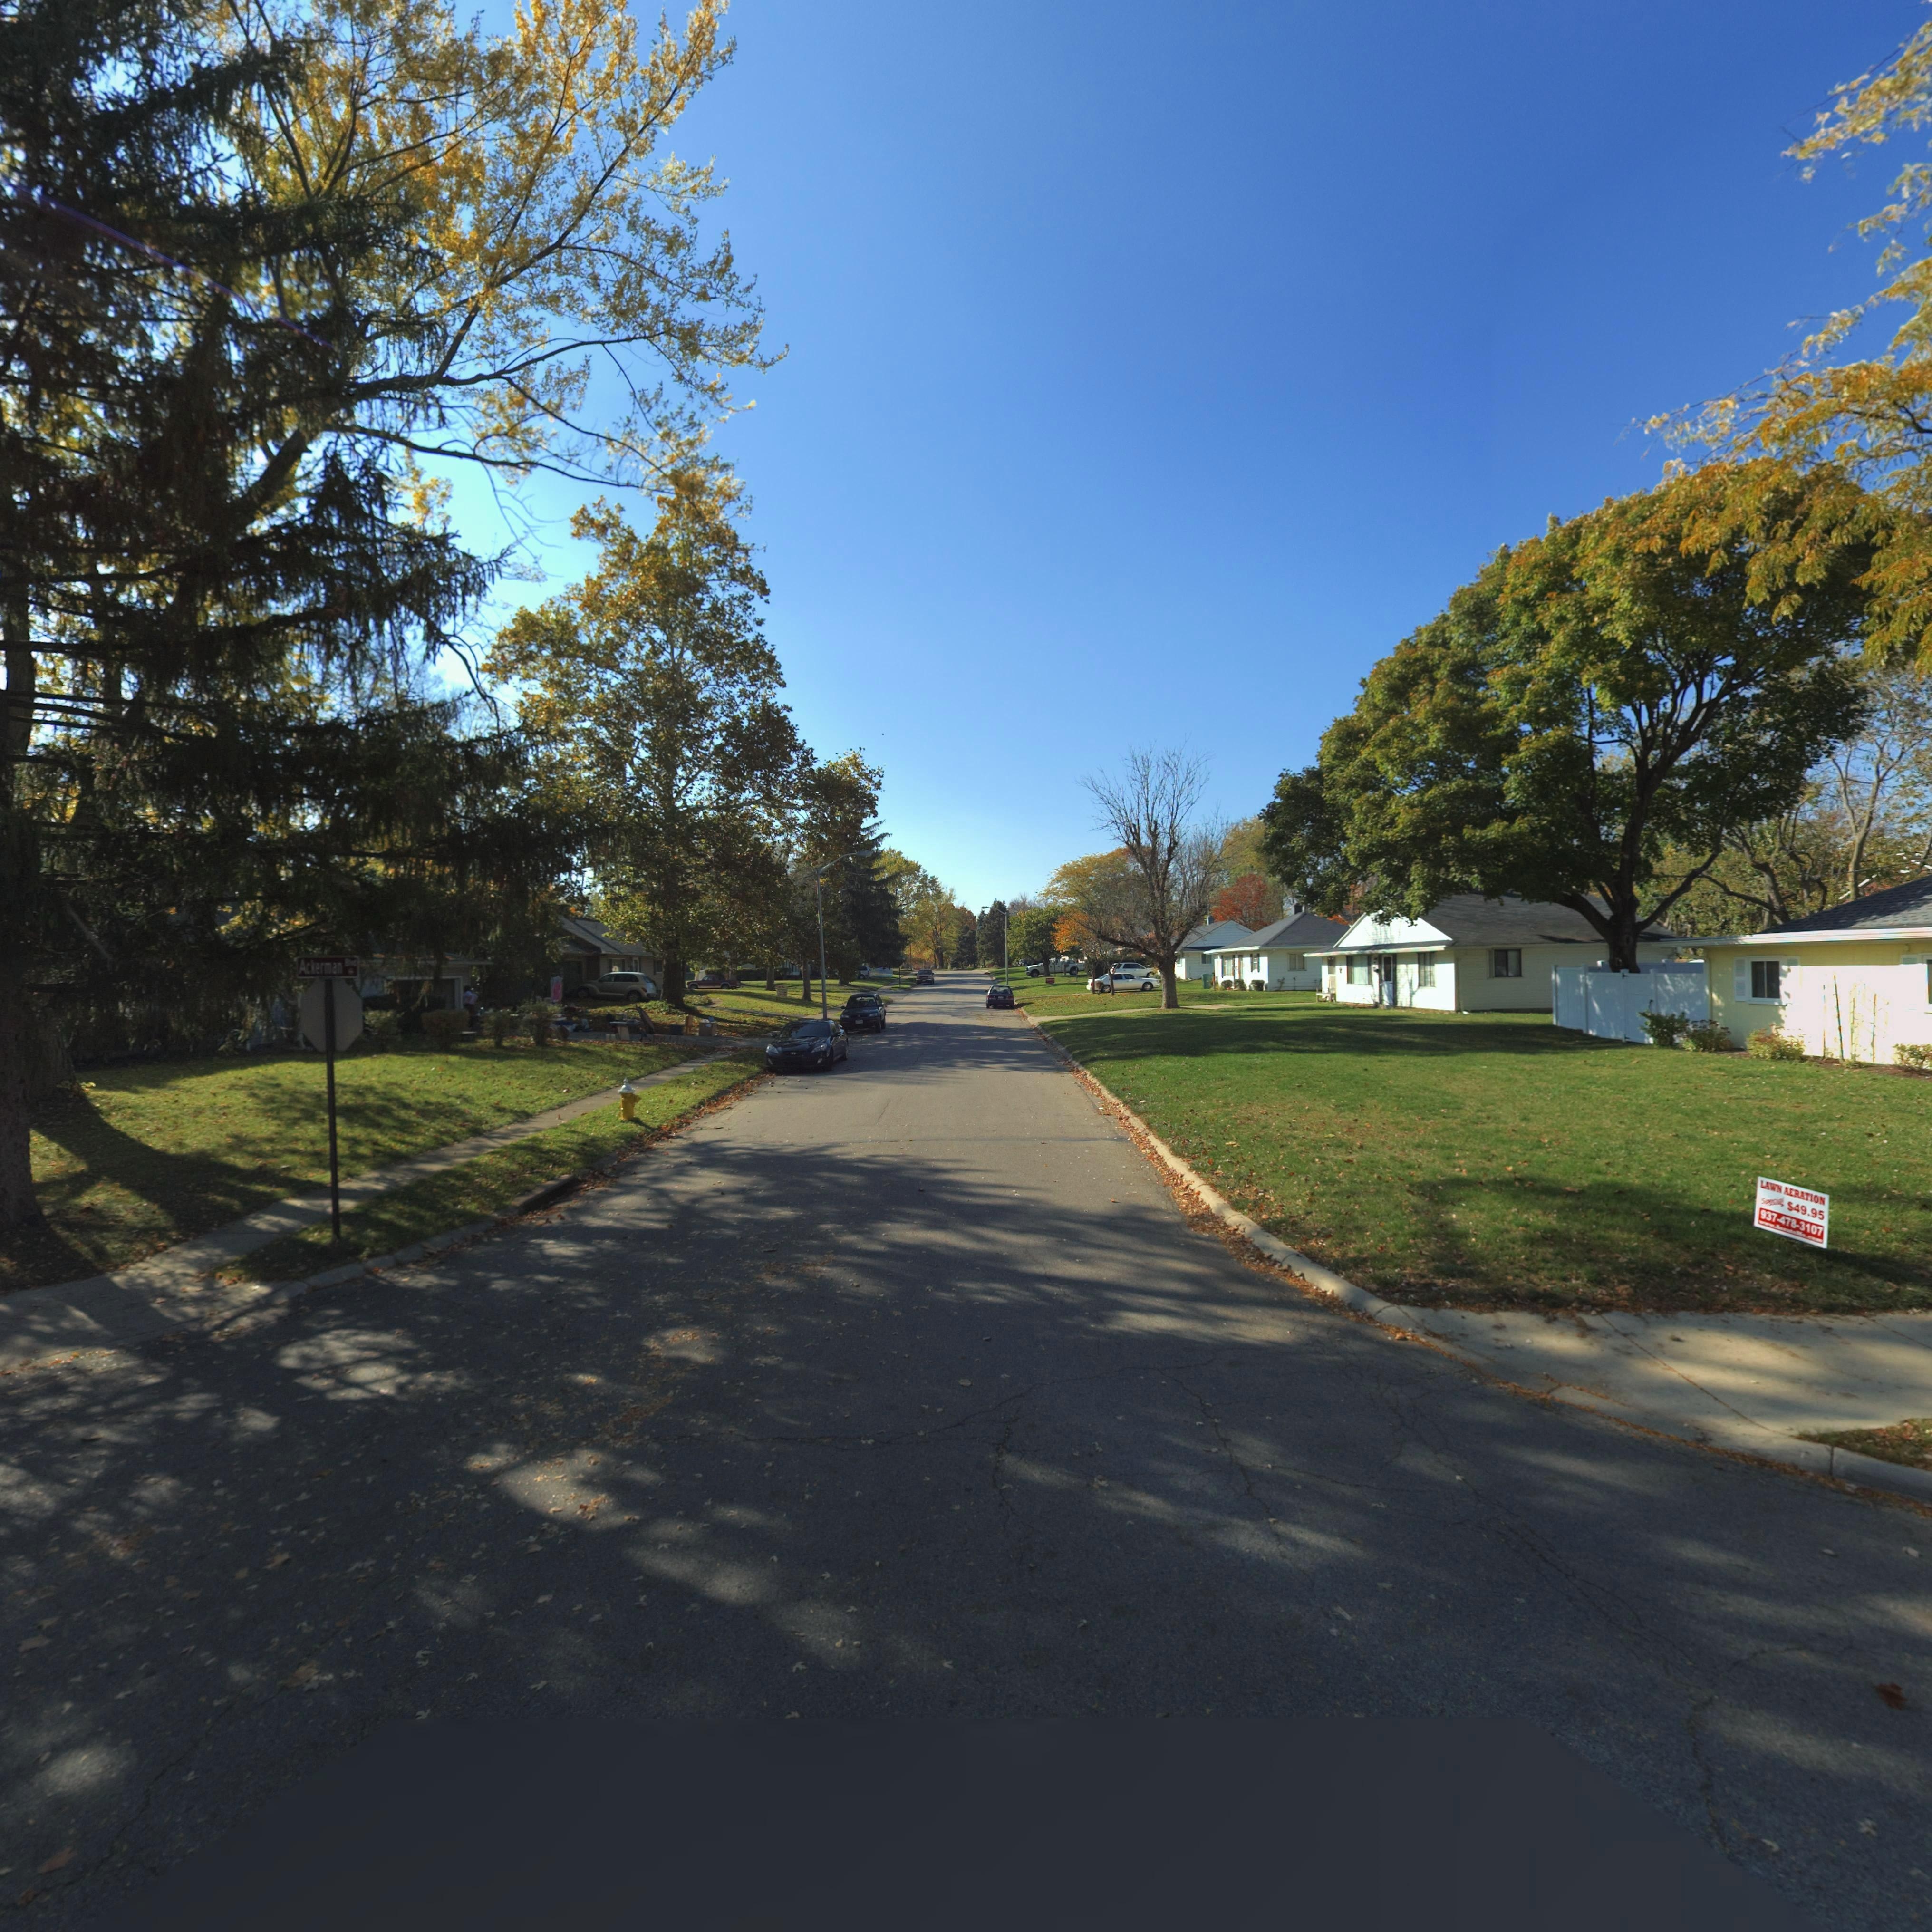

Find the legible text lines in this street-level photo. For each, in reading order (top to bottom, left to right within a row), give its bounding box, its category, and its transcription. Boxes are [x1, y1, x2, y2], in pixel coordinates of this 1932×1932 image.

[298, 958, 357, 975] StreetName: Ackerman Blvd
[1760, 1179, 1826, 1206] None: LAWN AERATION
[1760, 1208, 1825, 1237] None: 937-478-3107
[1792, 1203, 1825, 1222] None: 49.95